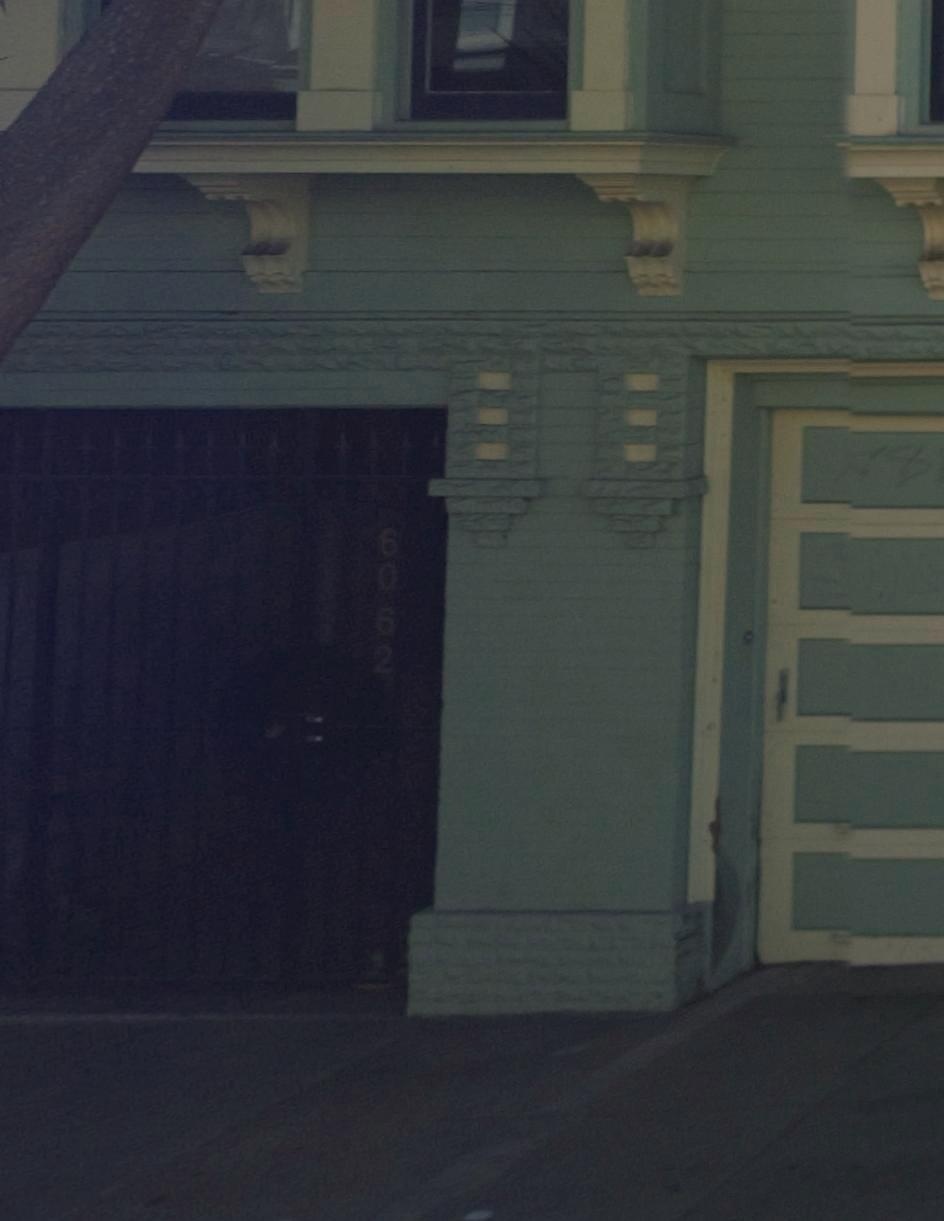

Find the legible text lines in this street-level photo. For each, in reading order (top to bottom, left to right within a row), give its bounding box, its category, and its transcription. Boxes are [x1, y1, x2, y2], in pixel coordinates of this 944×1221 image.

[376, 525, 401, 595] StreetNumber: 60
[373, 605, 397, 677] StreetNumber: 62